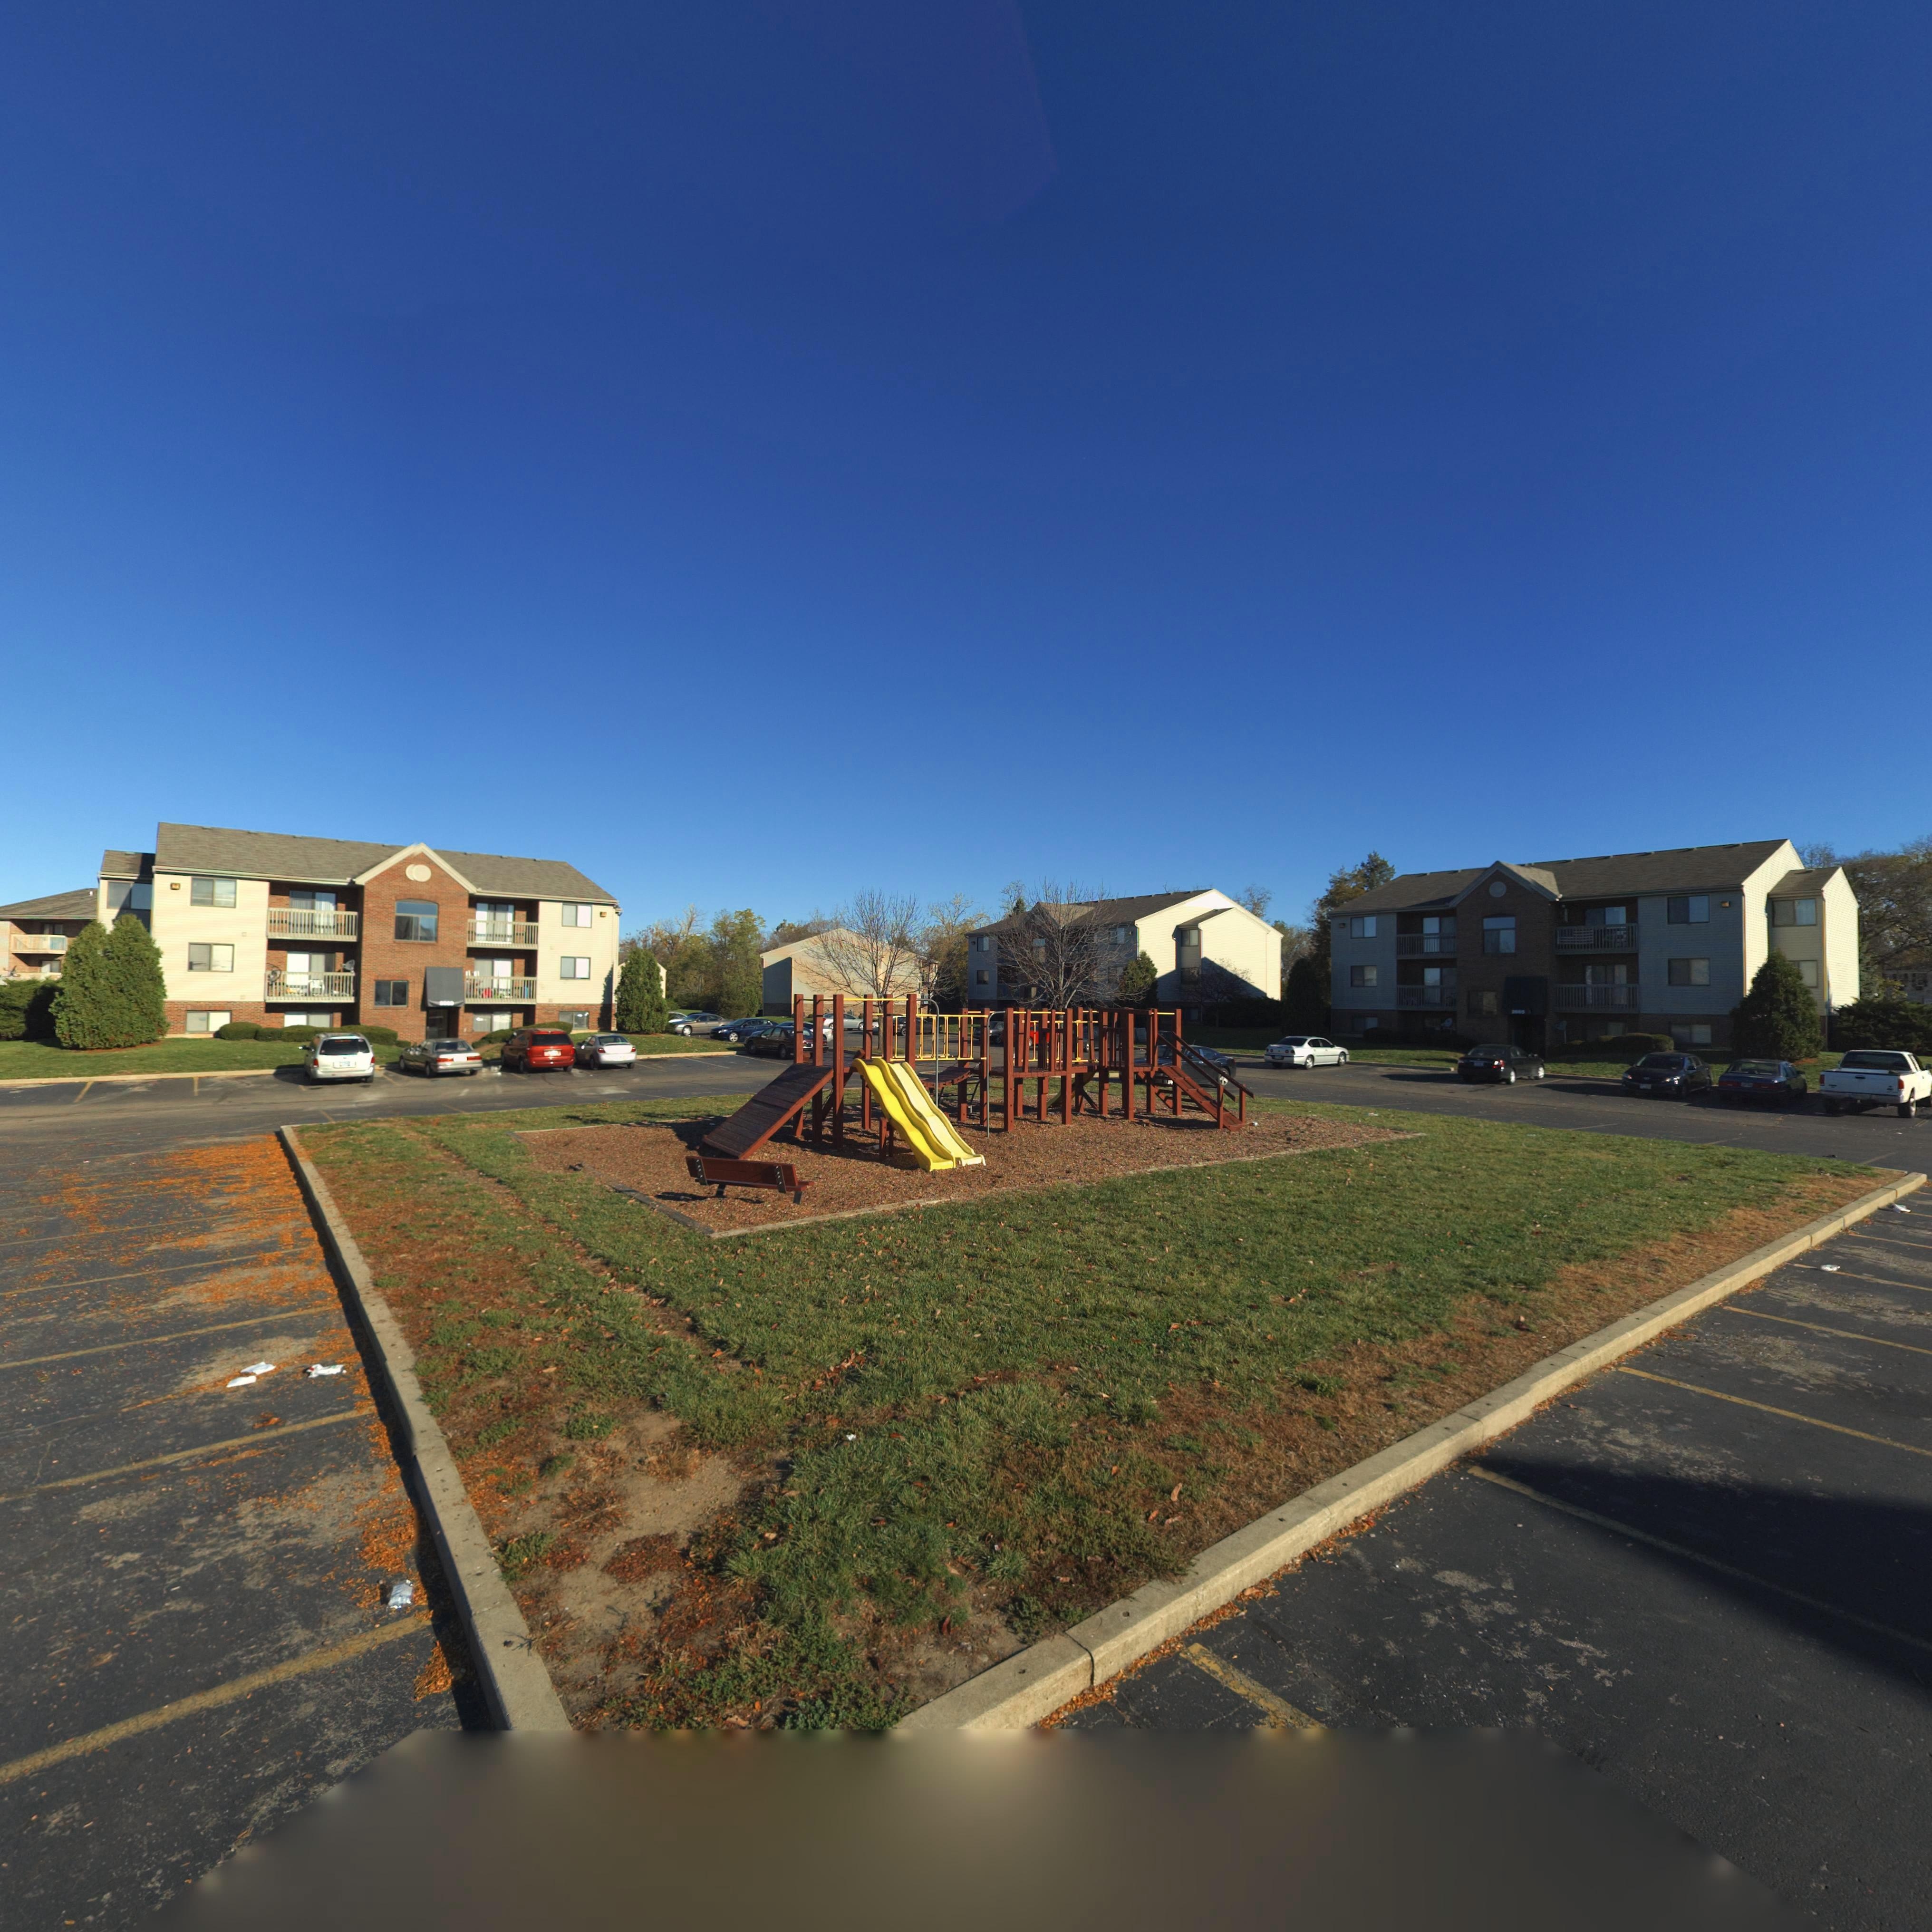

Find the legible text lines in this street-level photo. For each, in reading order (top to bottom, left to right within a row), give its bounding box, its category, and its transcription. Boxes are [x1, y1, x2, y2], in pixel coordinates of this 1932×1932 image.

[1511, 1009, 1525, 1014] StreetNumber: 2*65